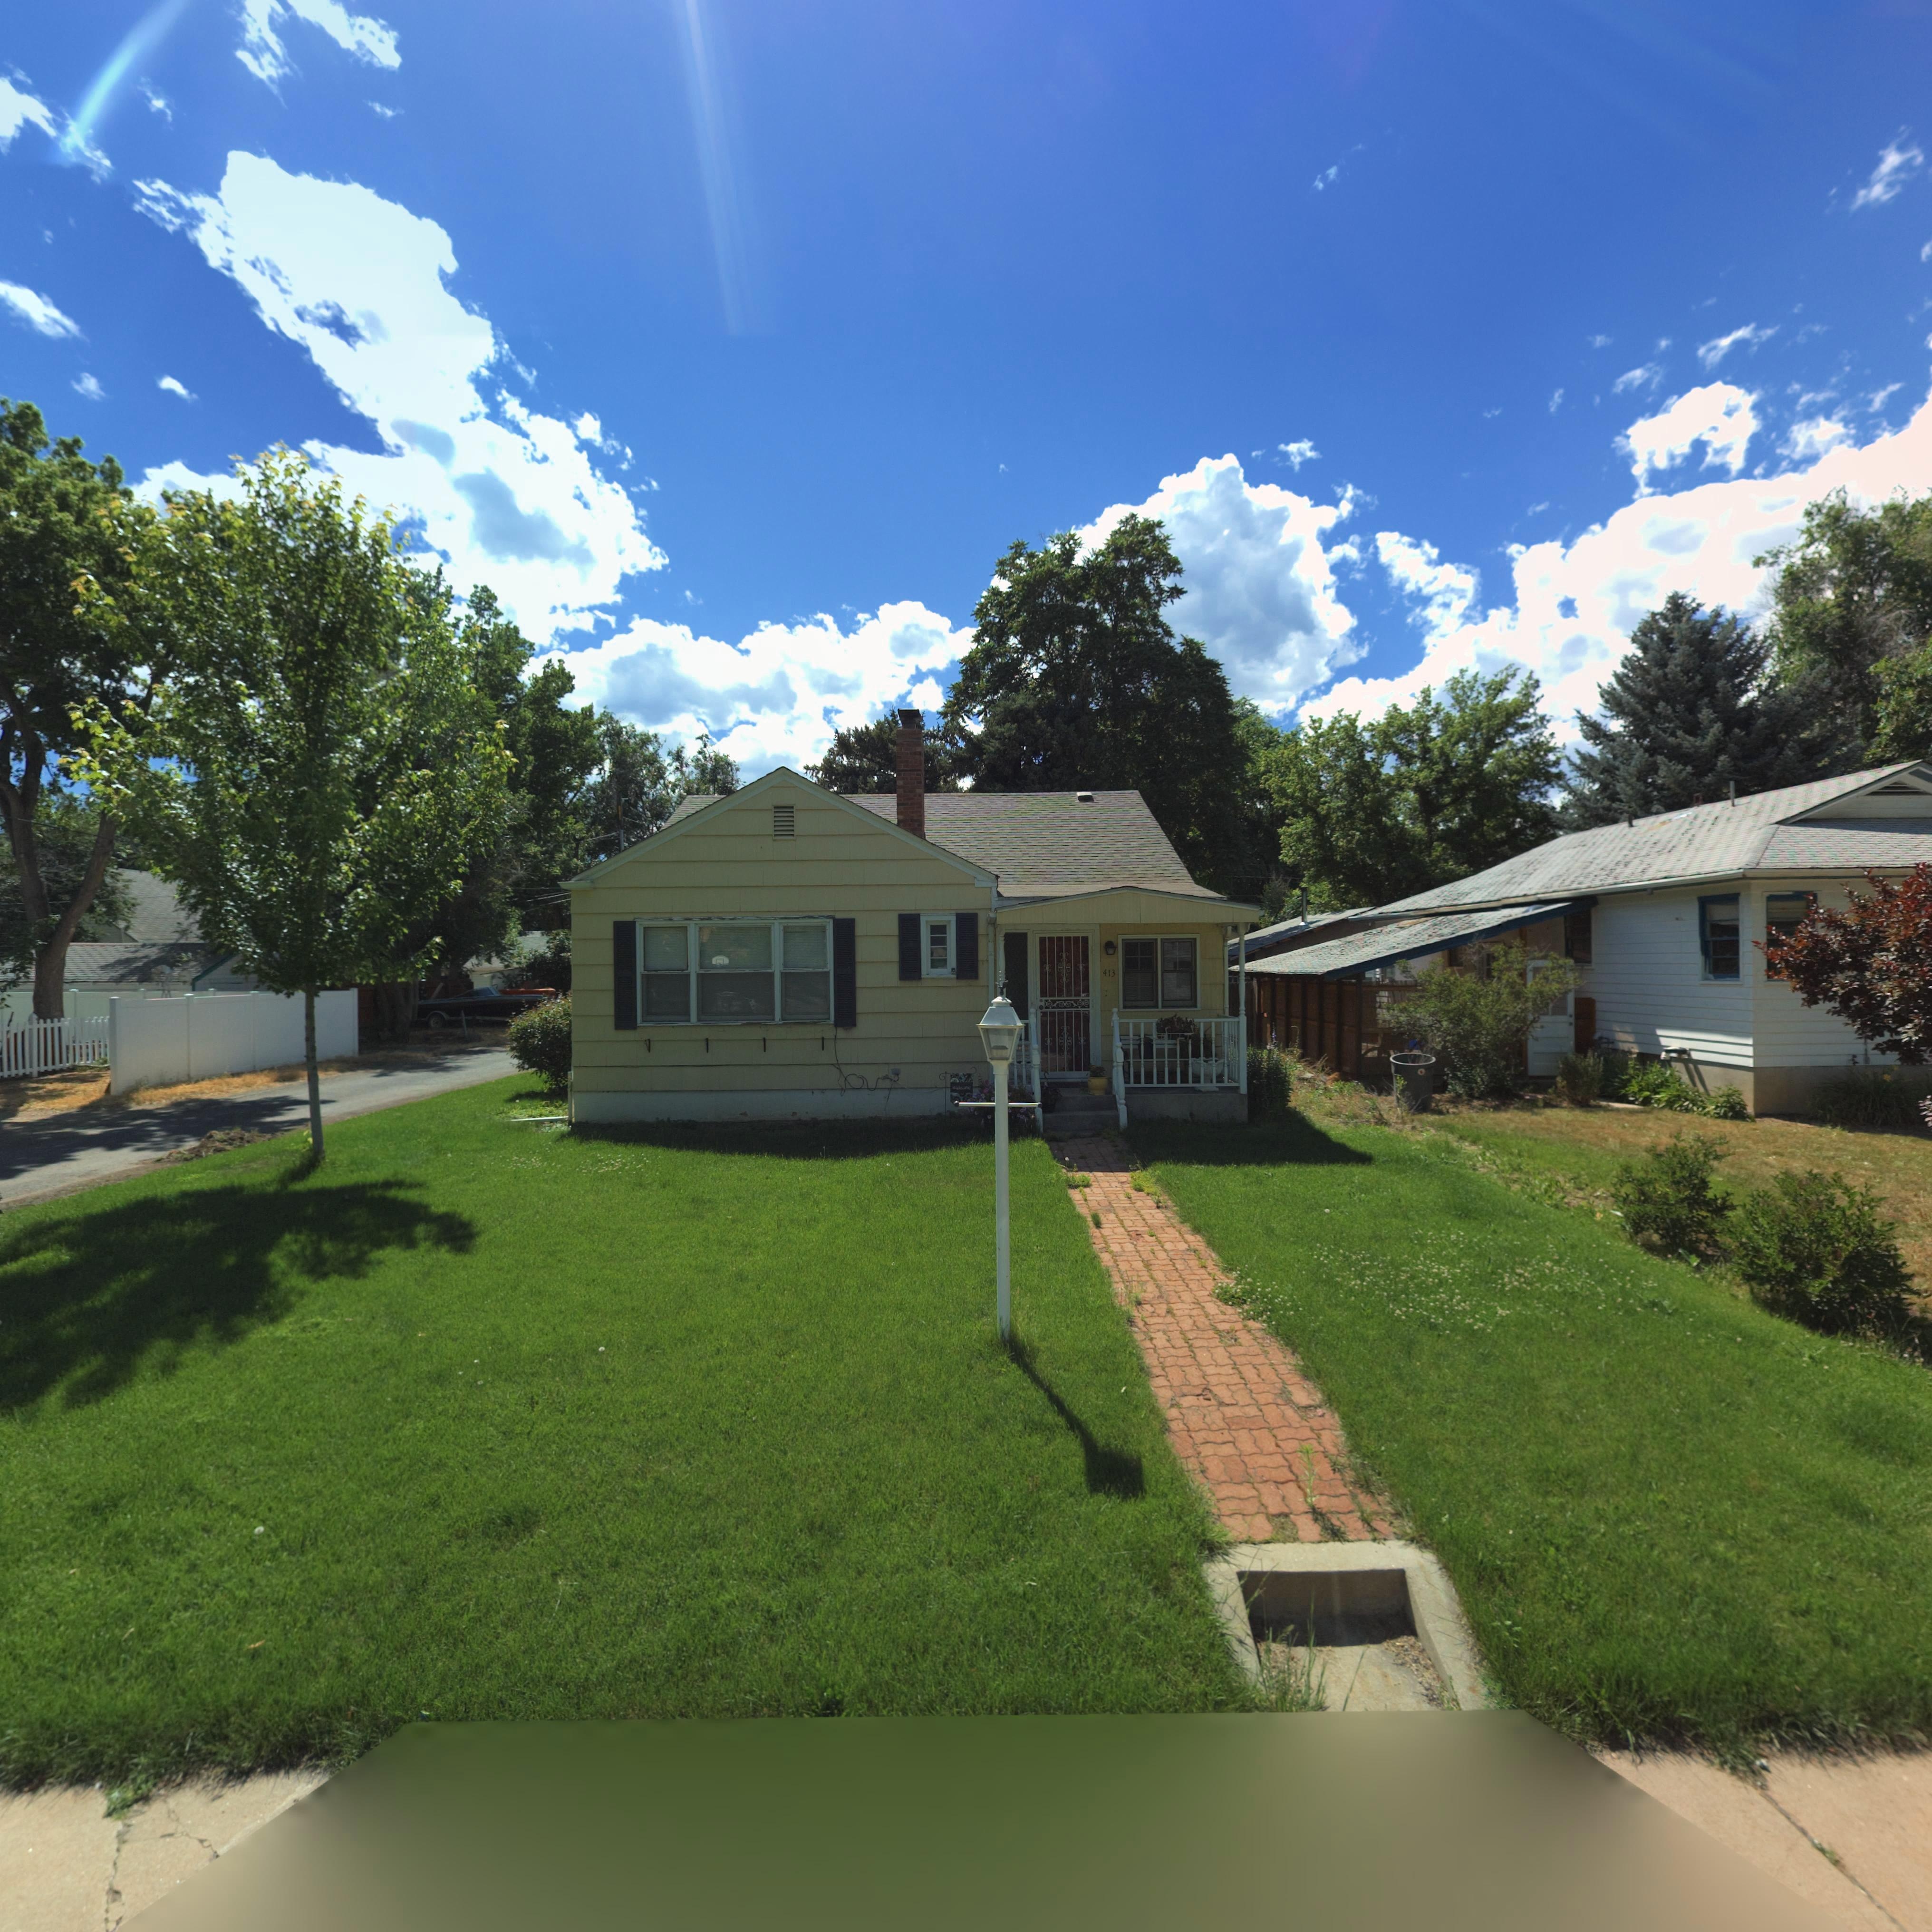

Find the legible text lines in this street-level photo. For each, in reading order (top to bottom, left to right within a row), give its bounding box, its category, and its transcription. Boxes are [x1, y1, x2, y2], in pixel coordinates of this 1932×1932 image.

[1102, 968, 1115, 977] StreetNumber: 413